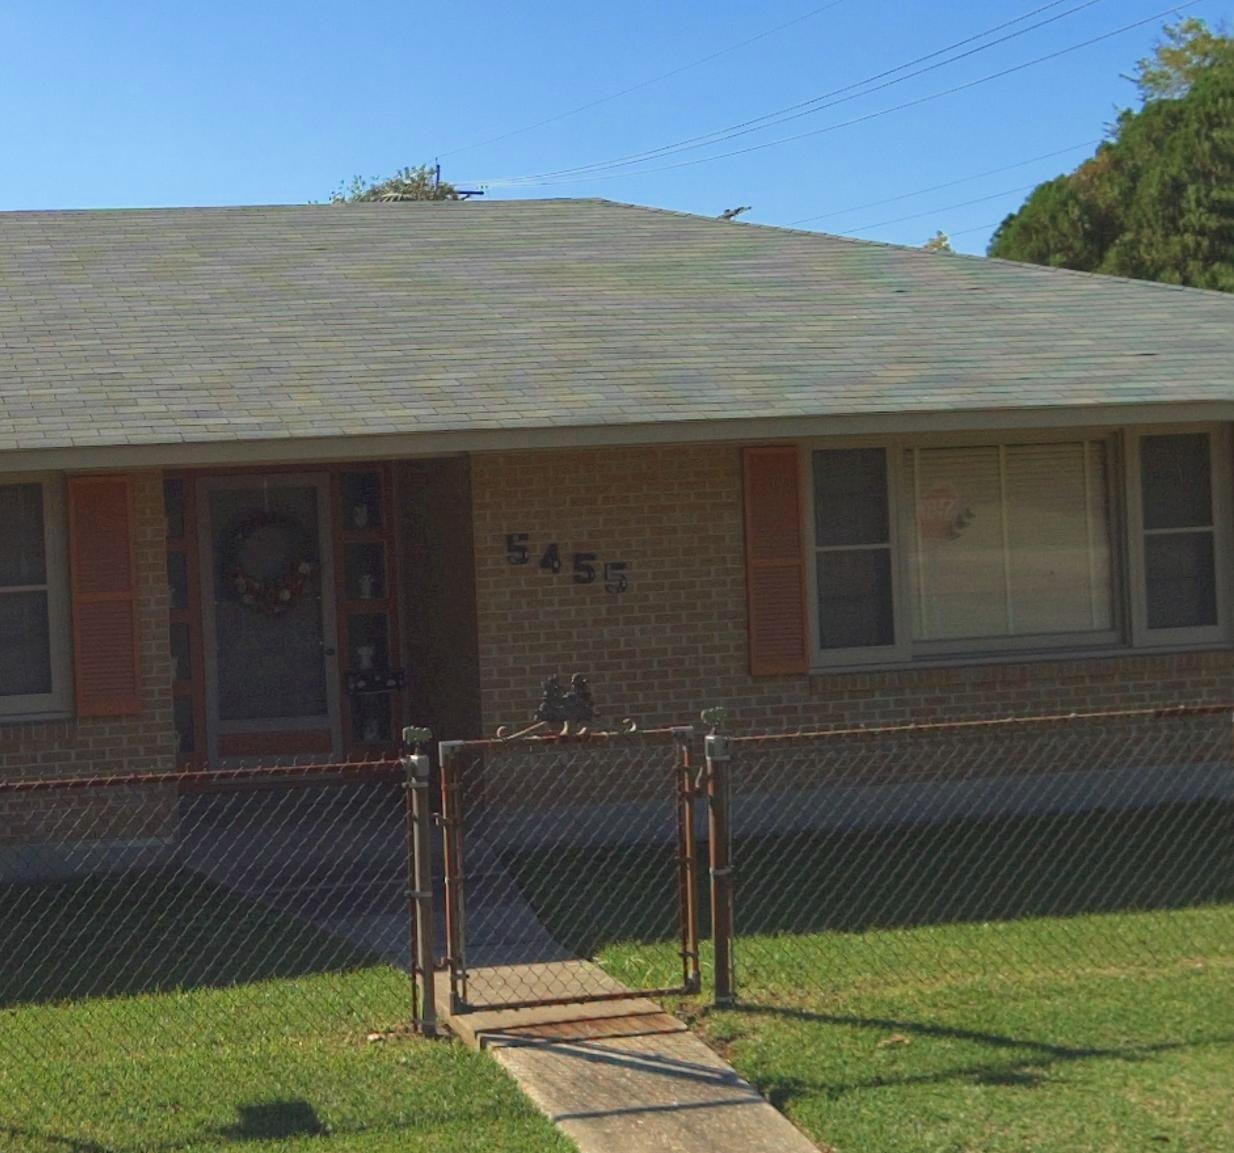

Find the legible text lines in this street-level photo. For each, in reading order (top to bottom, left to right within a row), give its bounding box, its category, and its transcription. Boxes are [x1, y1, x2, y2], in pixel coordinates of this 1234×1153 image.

[505, 530, 628, 596] StreetNumber: 5455